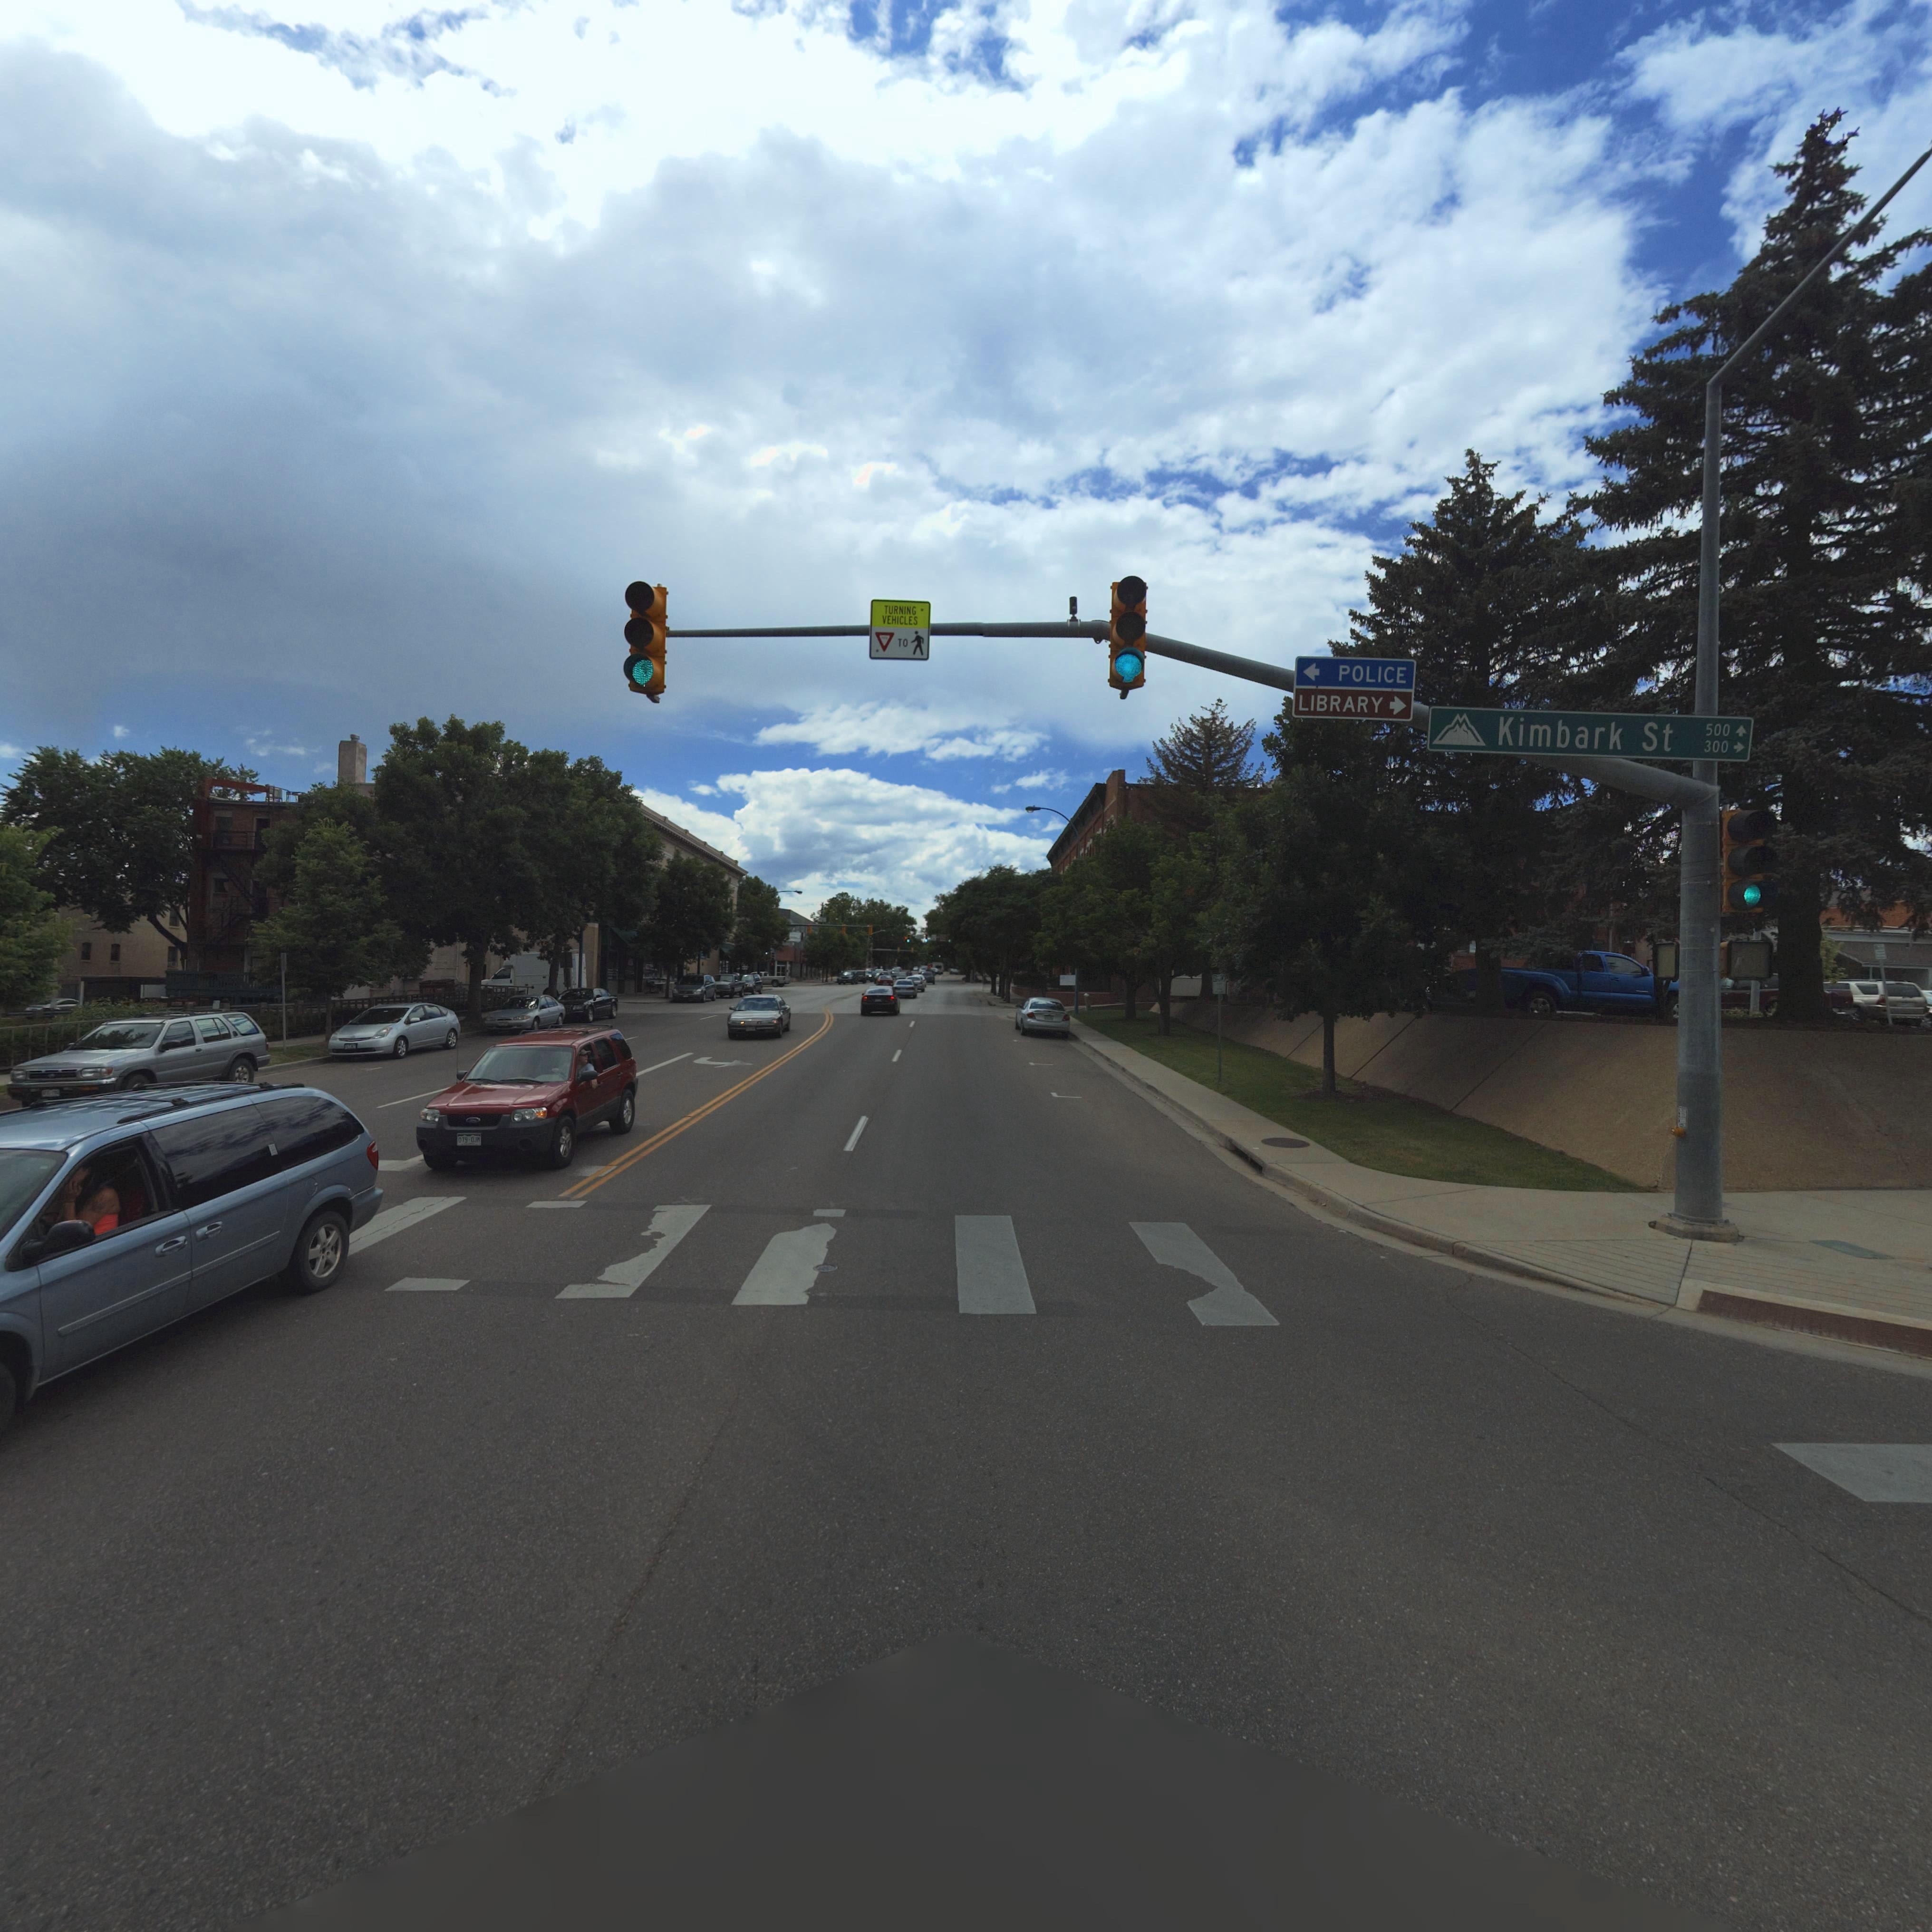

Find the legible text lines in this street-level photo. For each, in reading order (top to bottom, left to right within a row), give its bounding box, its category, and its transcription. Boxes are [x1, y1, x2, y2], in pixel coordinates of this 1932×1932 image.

[1497, 716, 1674, 752] StreetName: Kimbark St
[1705, 723, 1730, 737] StreetNumberRange: 500
[1703, 740, 1745, 753] BusinessName: 300->